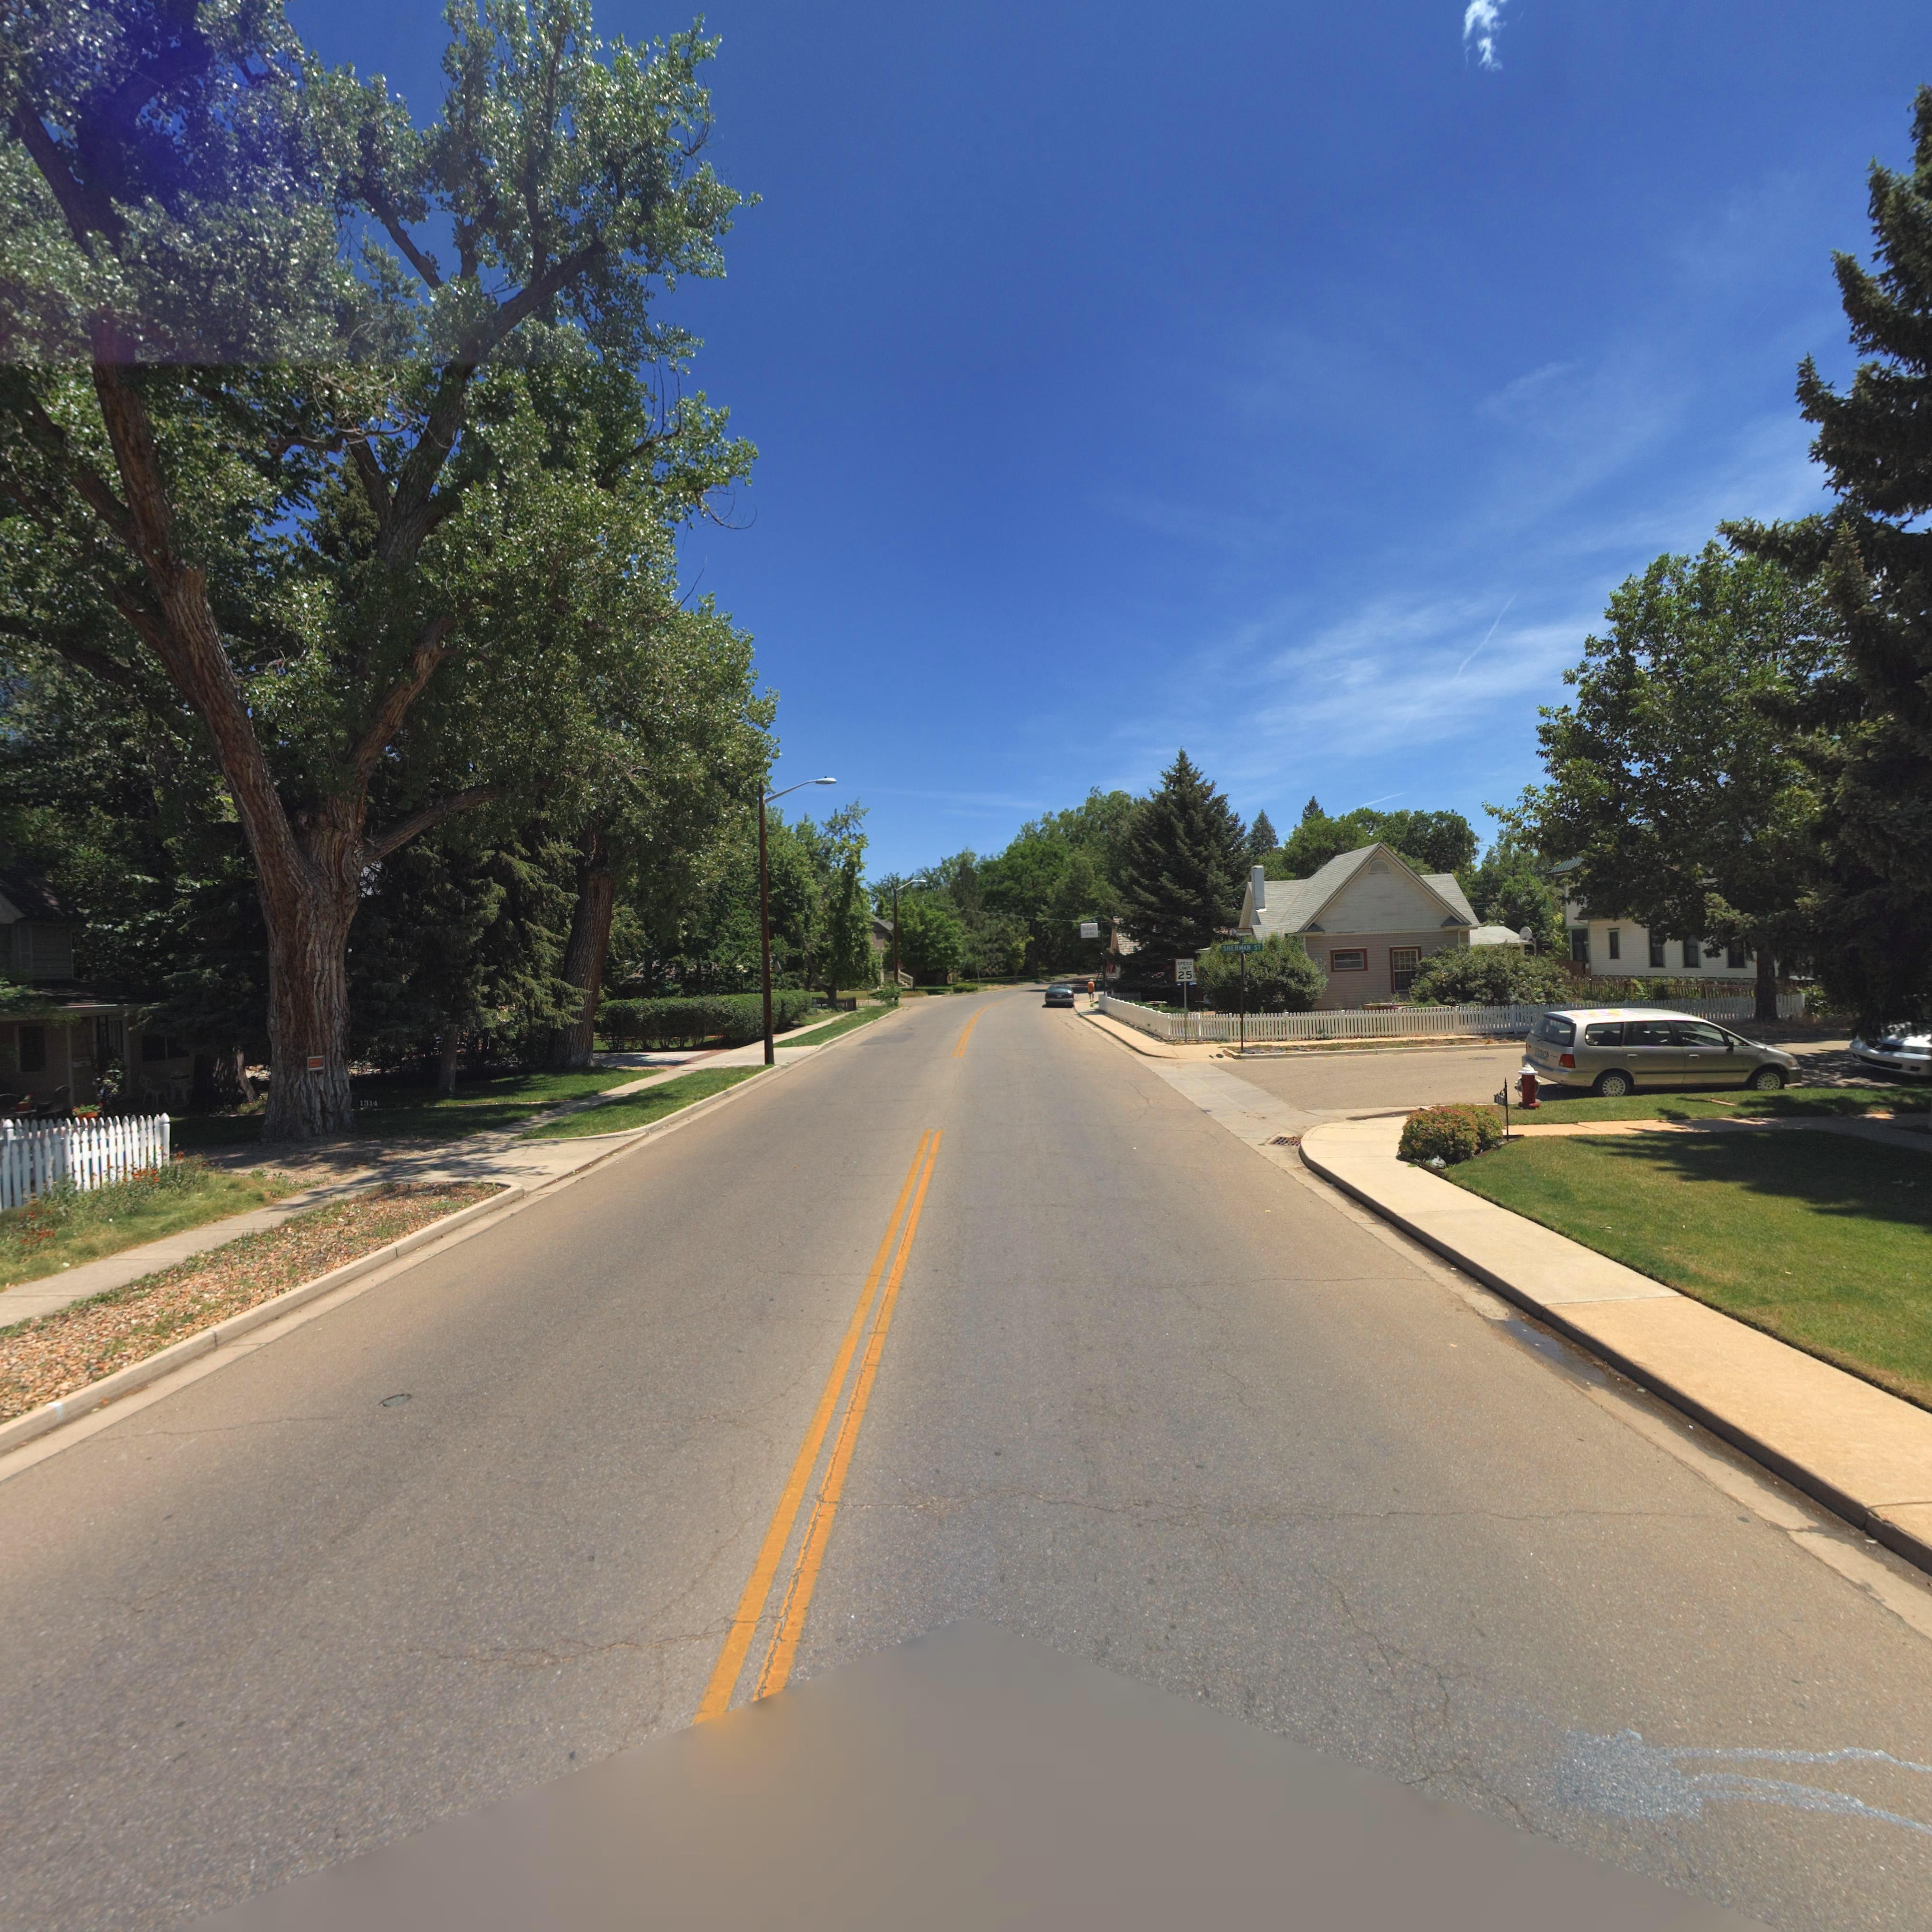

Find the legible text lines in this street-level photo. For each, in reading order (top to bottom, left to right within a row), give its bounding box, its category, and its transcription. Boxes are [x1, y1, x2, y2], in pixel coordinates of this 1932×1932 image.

[1222, 944, 1261, 951] StreetName: SHERMAN ST
[359, 1100, 377, 1106] StreetNumber: 1314